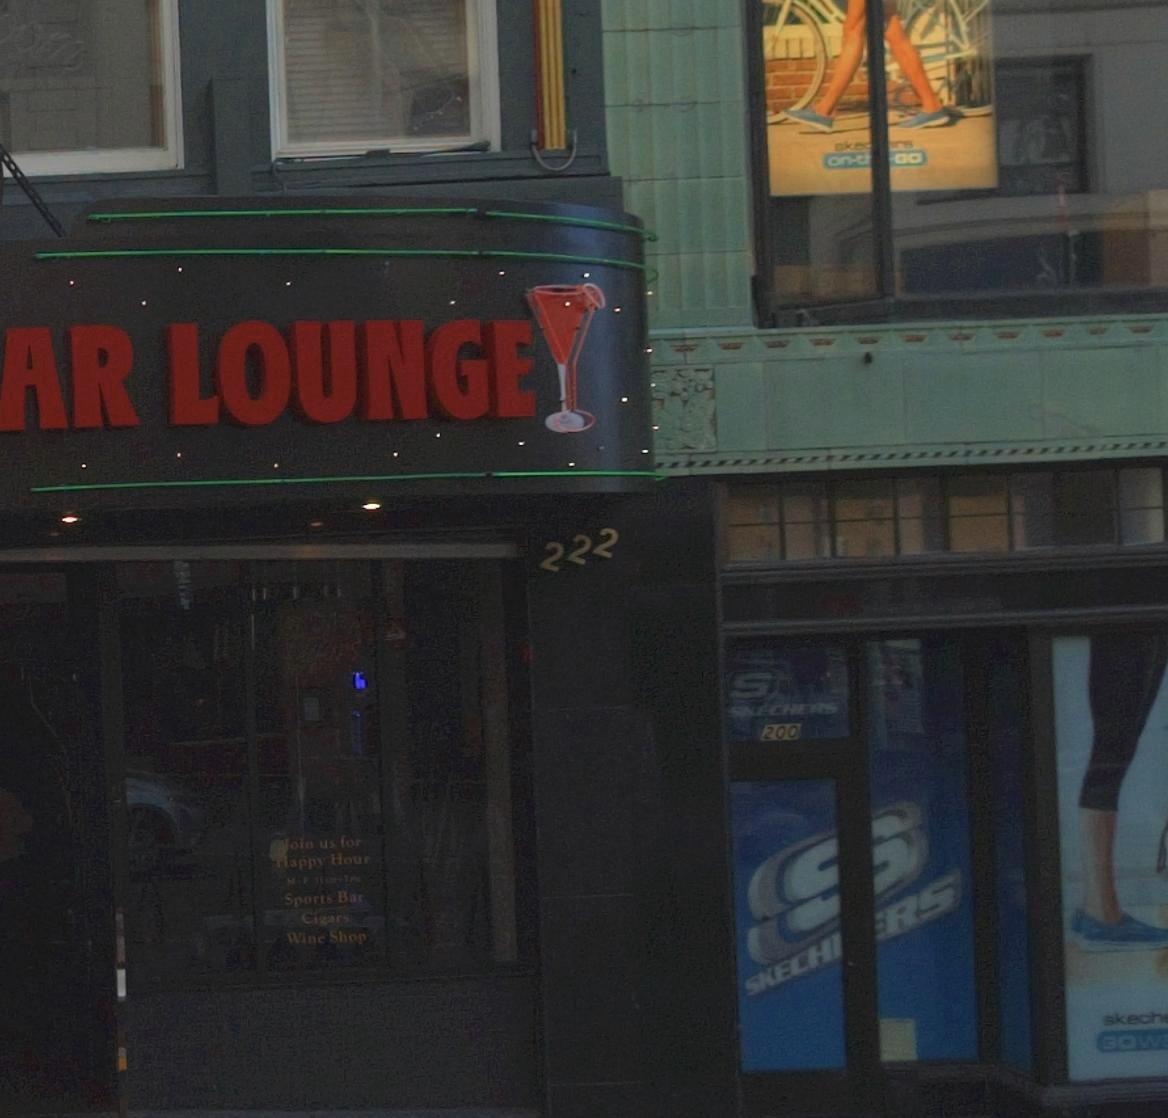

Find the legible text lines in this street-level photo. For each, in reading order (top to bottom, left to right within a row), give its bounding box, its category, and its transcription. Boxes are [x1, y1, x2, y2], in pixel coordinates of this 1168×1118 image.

[834, 139, 916, 152] BusinessName: skec**rs
[827, 152, 924, 167] None: on-th*-GO
[1, 314, 540, 435] BusinessName: AR LOUNGE
[537, 521, 623, 578] StreetNumber: 222
[727, 672, 774, 699] None: S
[725, 701, 841, 719] BusinessName: SKECHERS
[762, 724, 800, 740] StreetNumber: 200
[280, 835, 362, 852] None: Join us for
[275, 852, 372, 873] None: Happy Hour
[286, 874, 362, 887] None: M-F 11AM-***
[283, 889, 365, 909] None: Sports Bar
[300, 911, 350, 926] None: Cigars
[285, 929, 367, 946] None: Wine Shop
[741, 872, 961, 999] BusinessName: SKECH*RS
[1103, 1010, 1165, 1026] BusinessName: skech
[1099, 1032, 1162, 1051] None: GOW